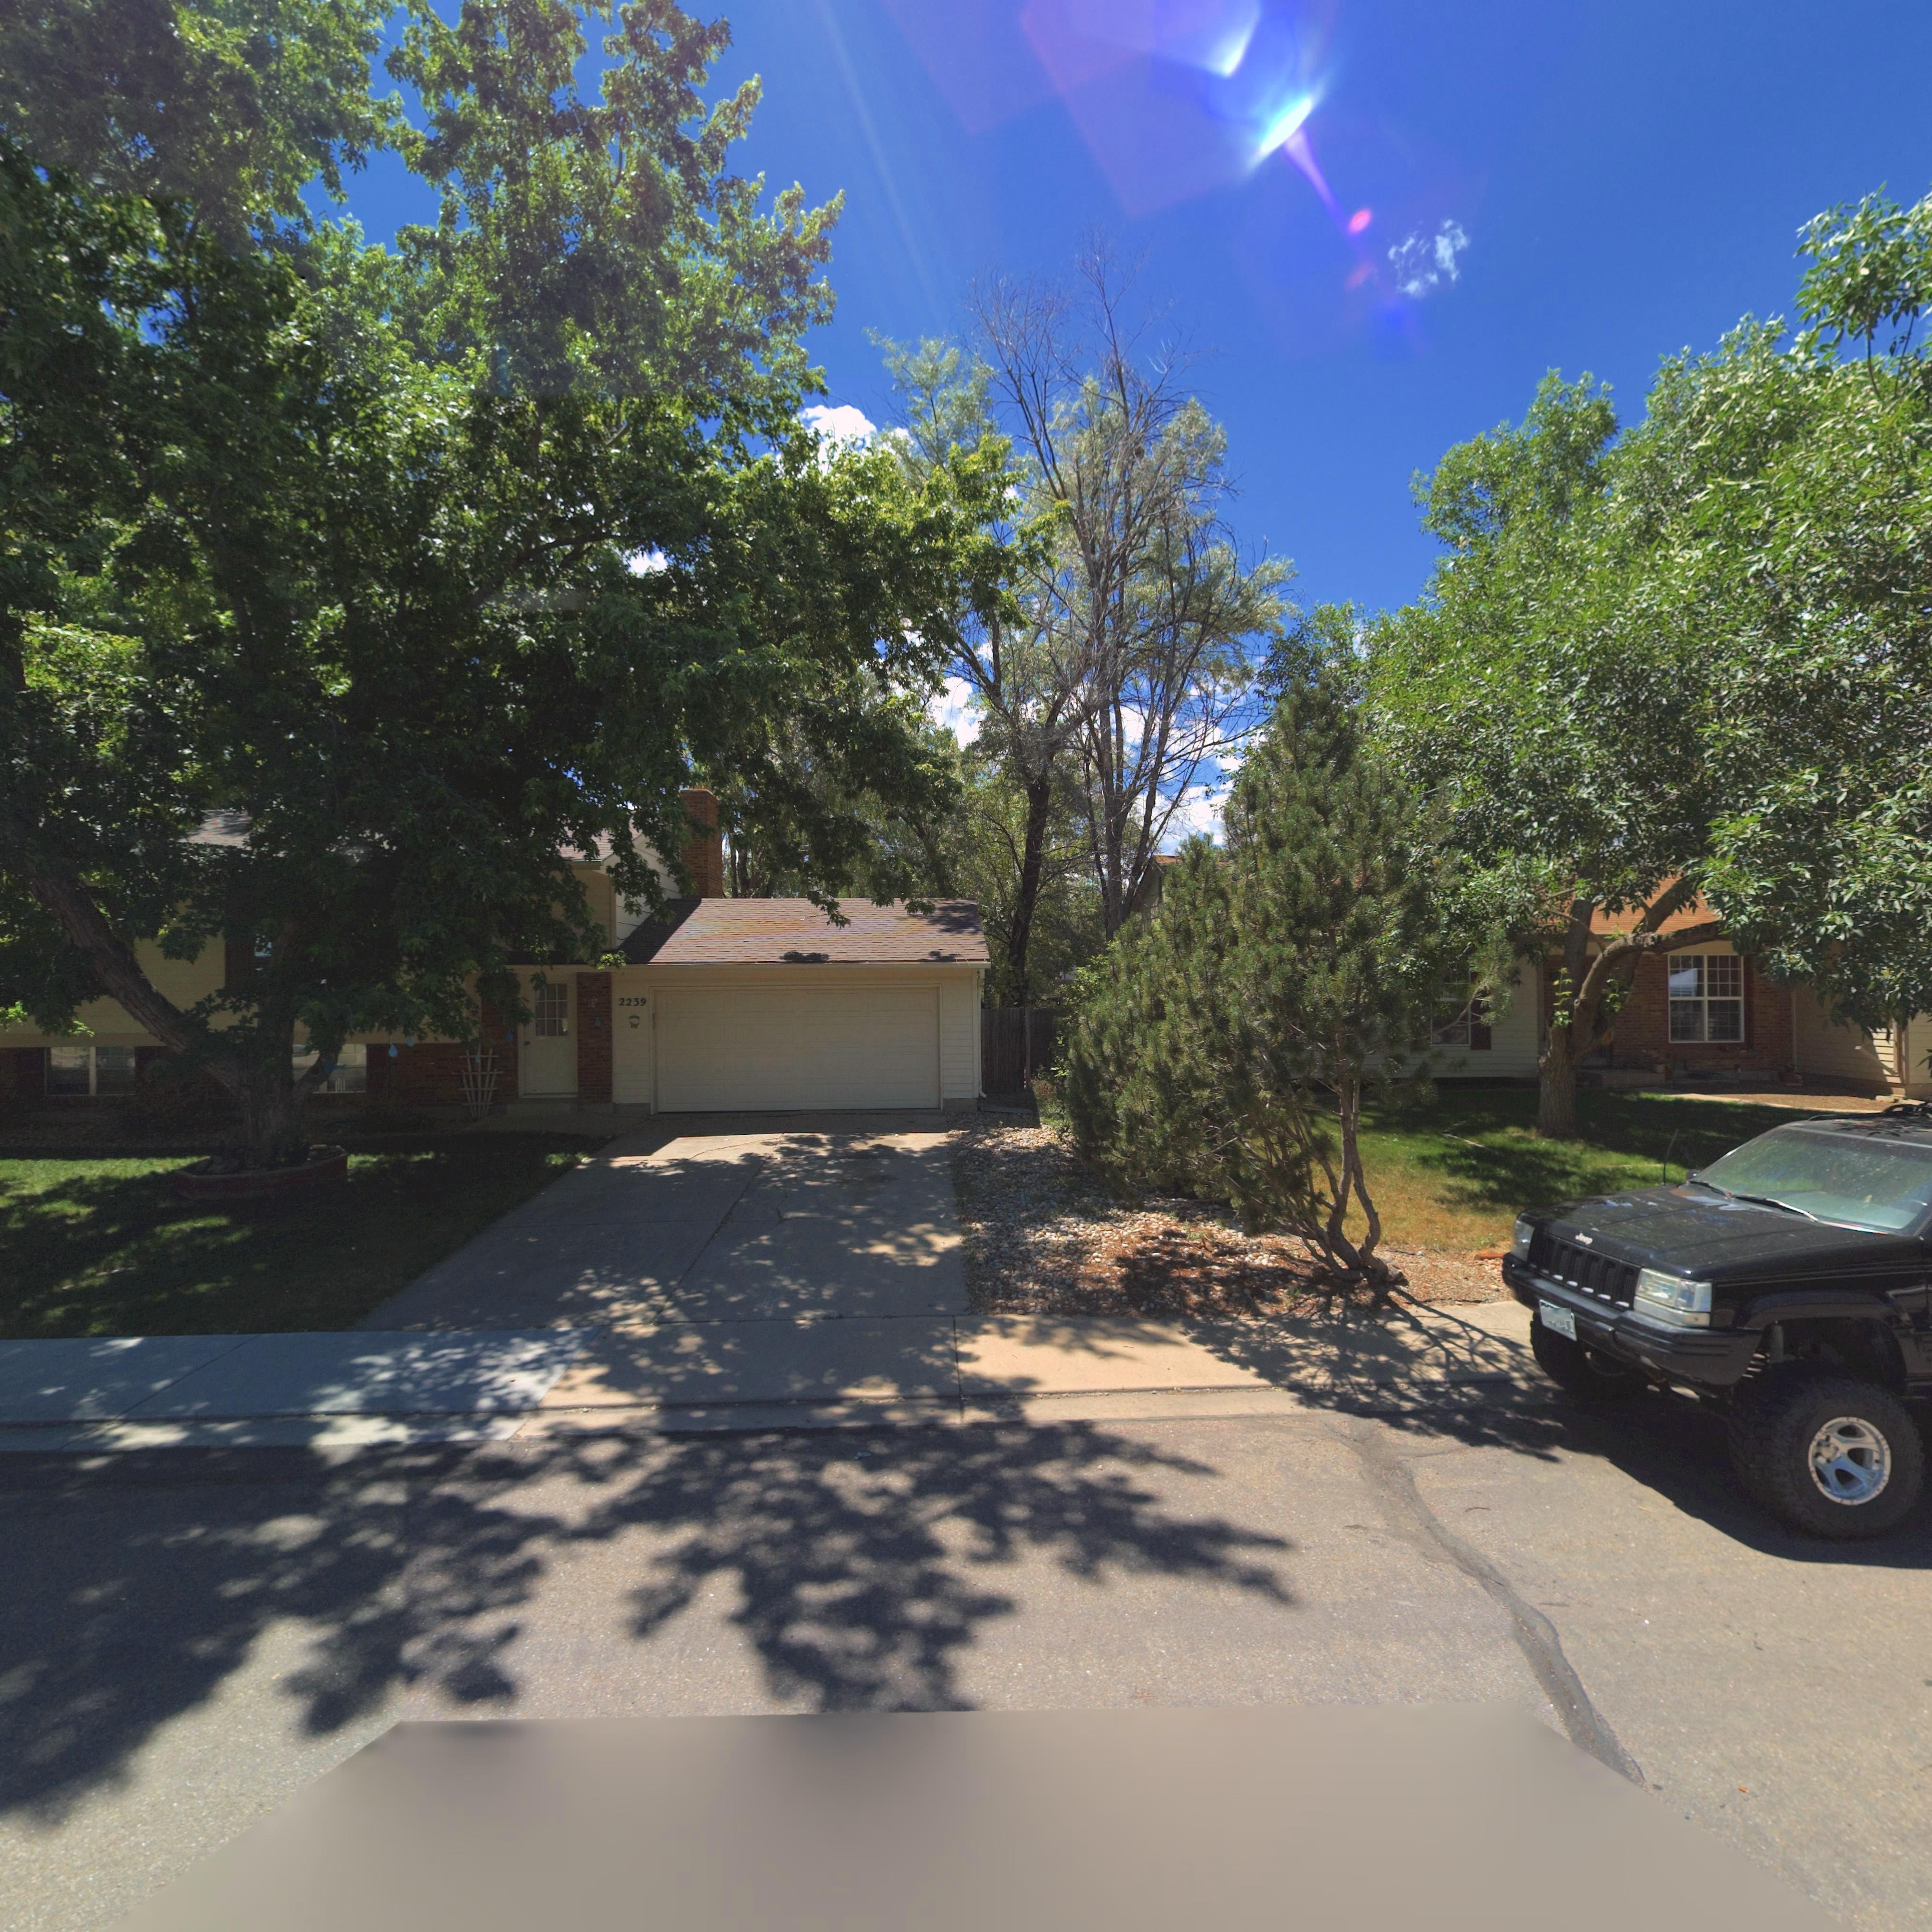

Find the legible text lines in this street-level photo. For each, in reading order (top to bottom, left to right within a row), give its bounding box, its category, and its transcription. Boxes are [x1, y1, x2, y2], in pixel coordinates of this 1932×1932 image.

[618, 997, 647, 1006] StreetNumber: 2239